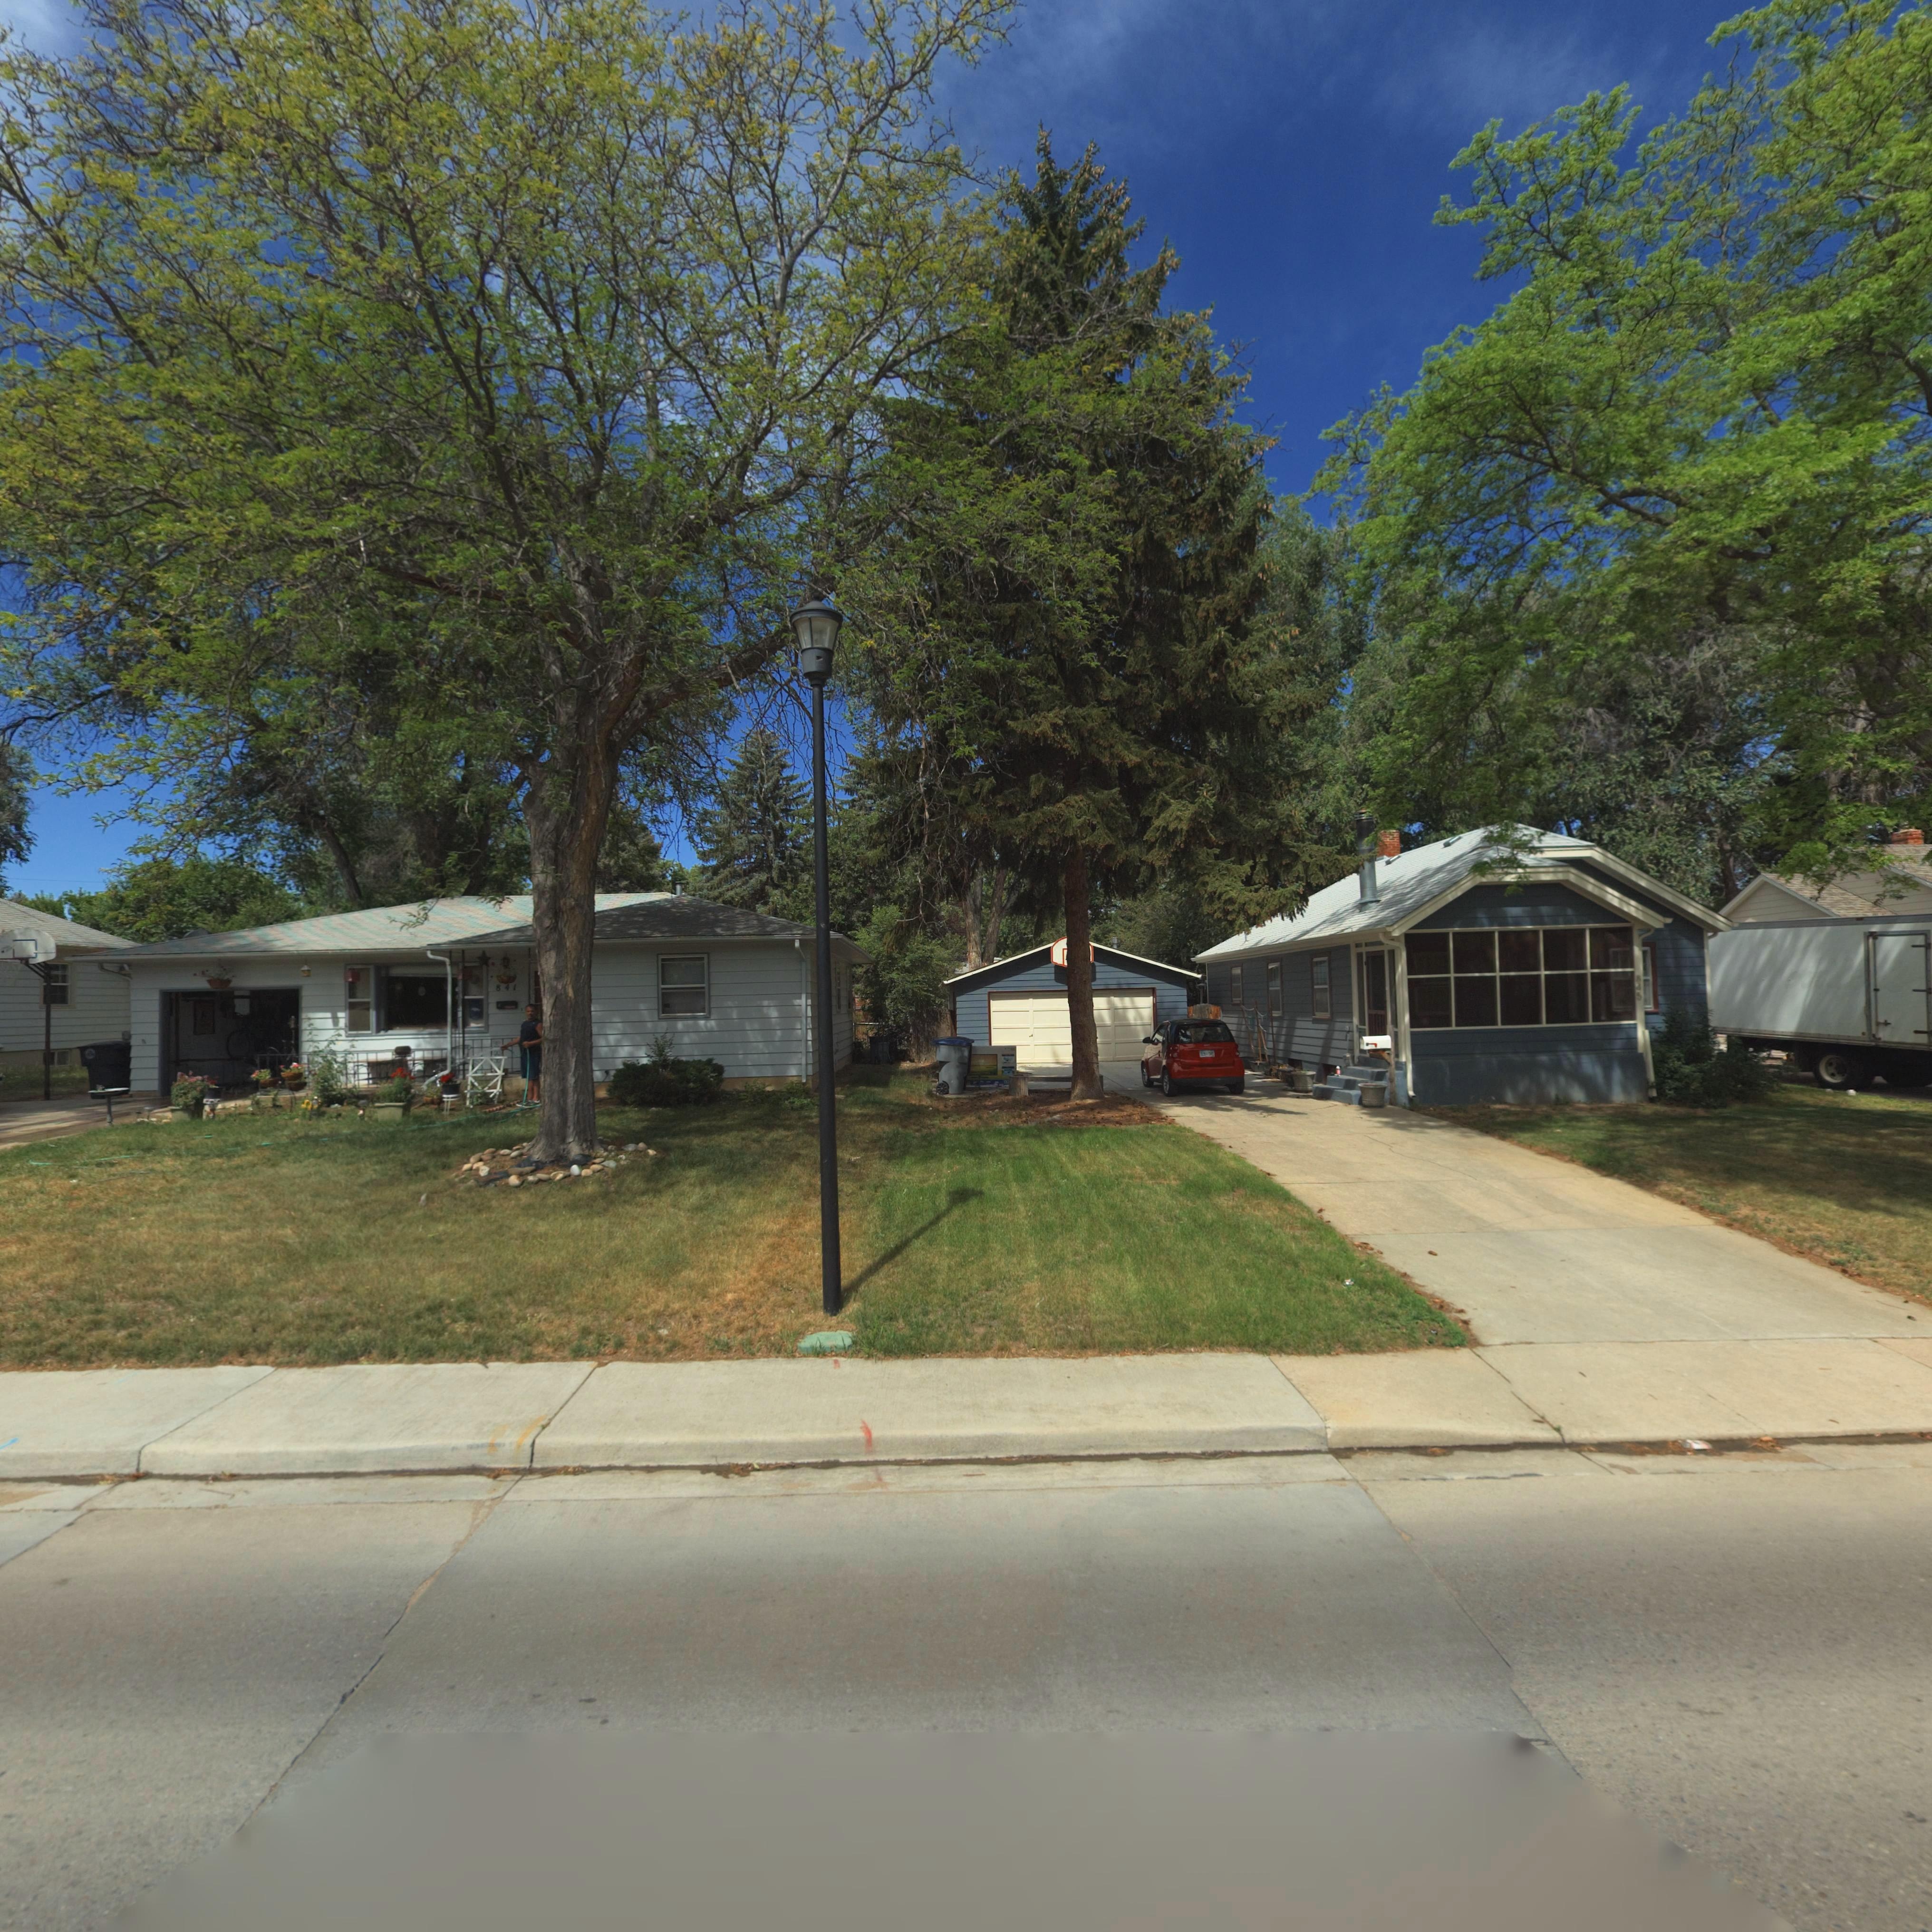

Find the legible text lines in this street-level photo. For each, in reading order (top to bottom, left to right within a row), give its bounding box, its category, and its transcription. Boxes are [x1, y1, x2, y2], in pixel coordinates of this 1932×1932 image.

[496, 983, 517, 991] StreetNumber: 841
[1635, 975, 1642, 1000] StreetNumber: 845